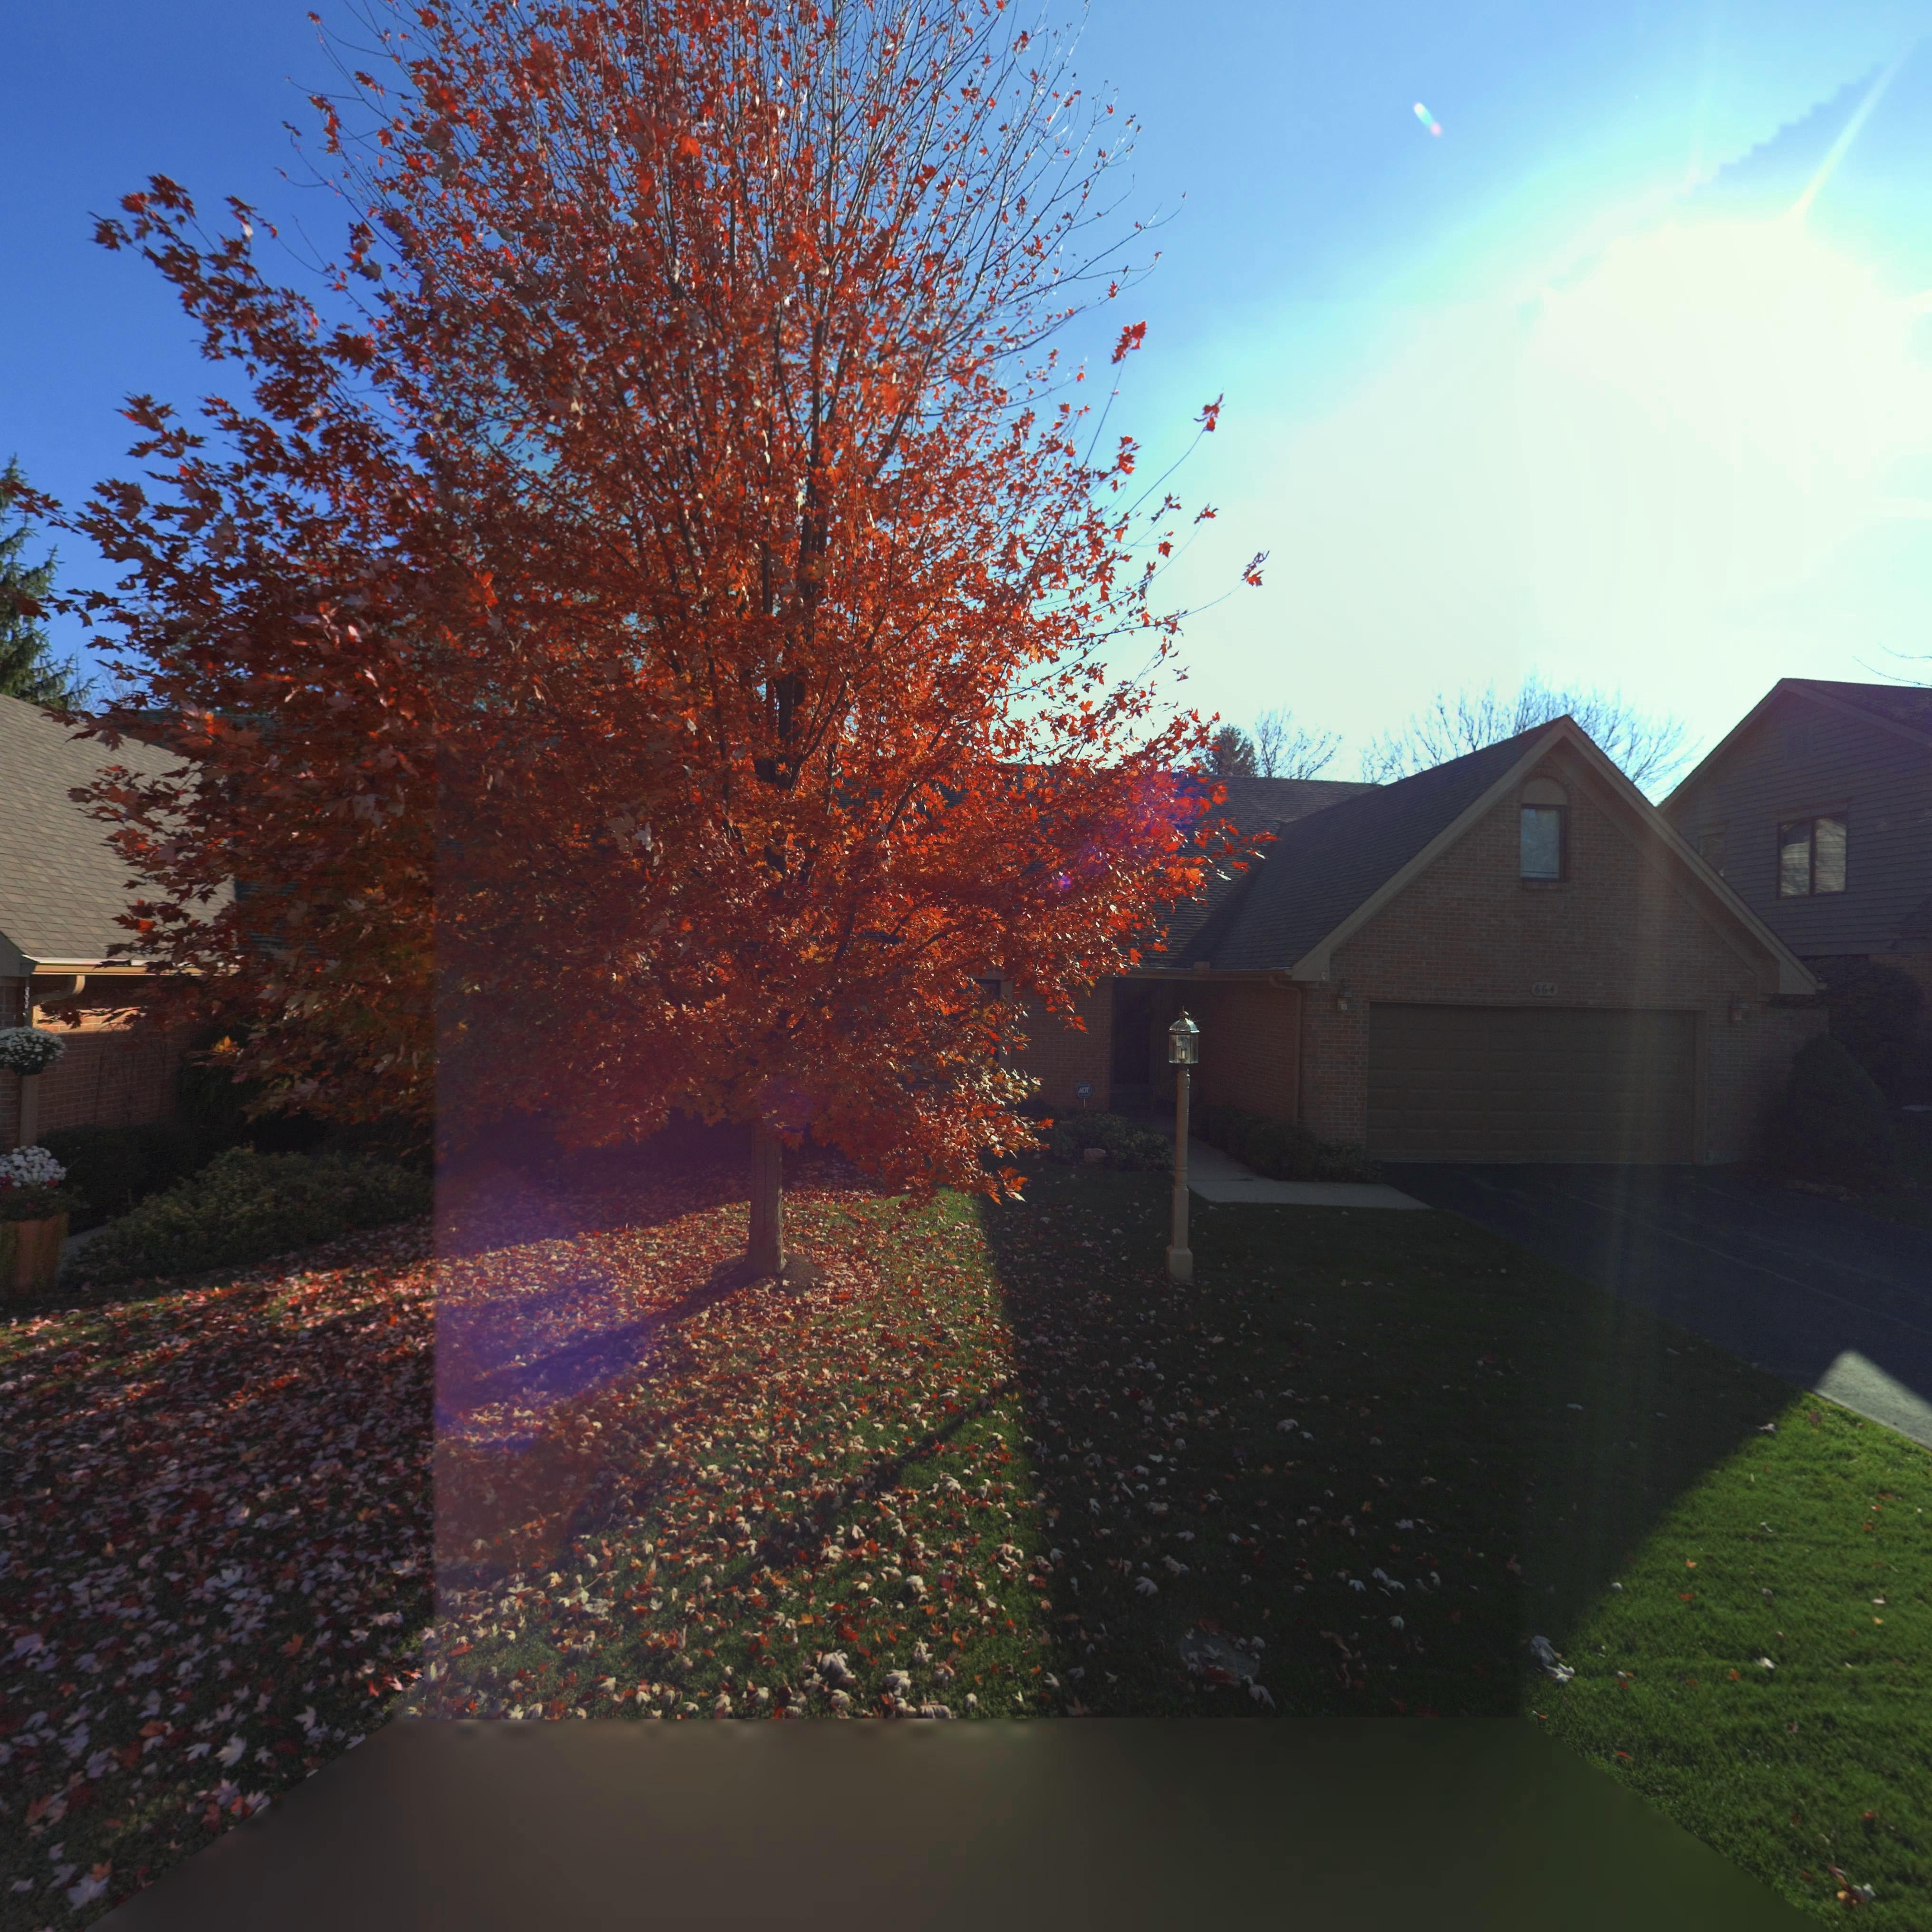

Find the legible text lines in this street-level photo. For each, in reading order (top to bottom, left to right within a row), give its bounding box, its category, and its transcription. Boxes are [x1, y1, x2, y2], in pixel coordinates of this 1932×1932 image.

[1533, 983, 1556, 996] StreetNumber: 664